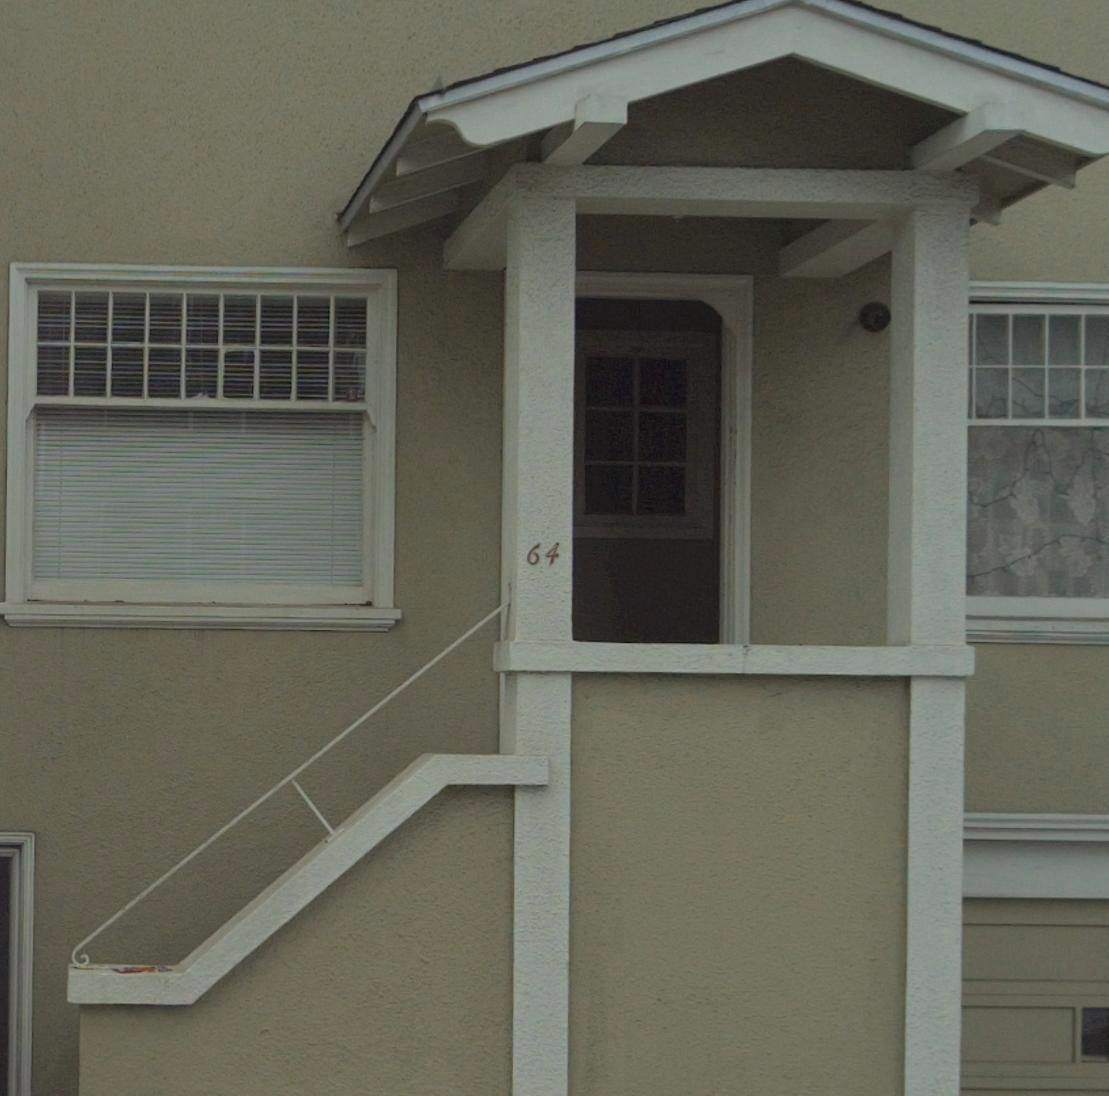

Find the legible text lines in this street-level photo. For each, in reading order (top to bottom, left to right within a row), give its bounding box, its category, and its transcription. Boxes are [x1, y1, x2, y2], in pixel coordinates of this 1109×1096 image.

[525, 540, 562, 568] StreetNumber: 64